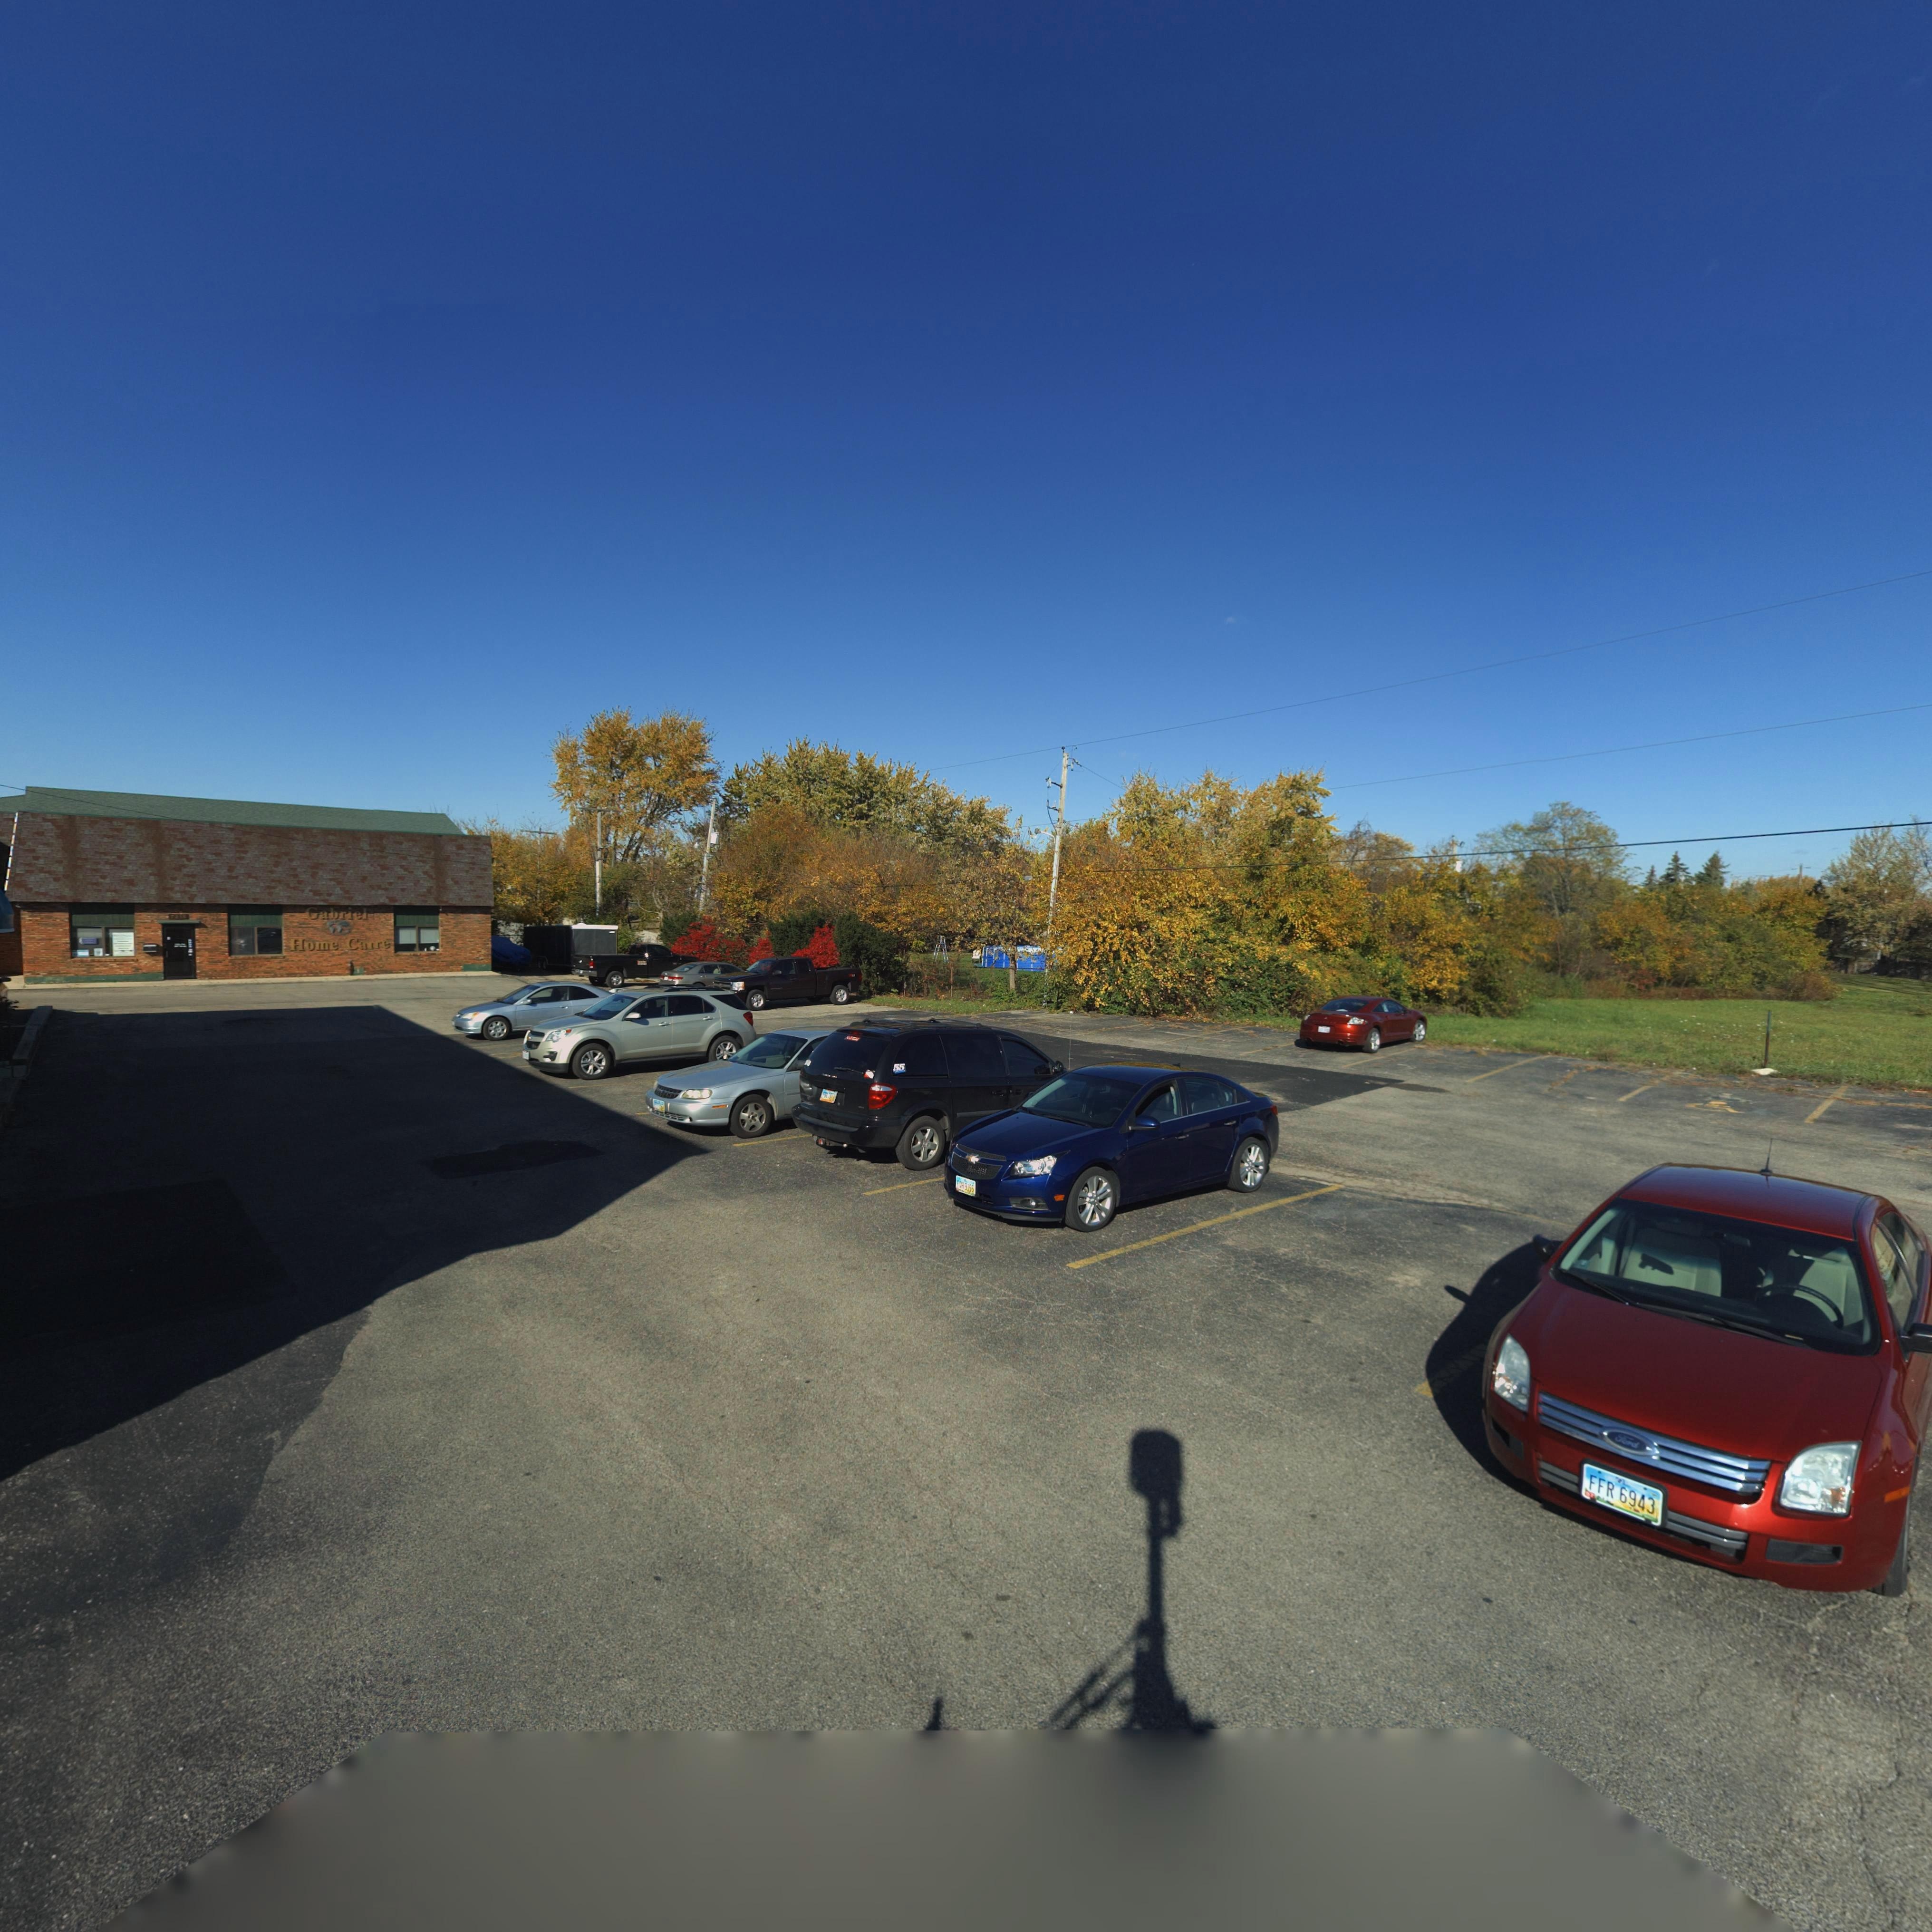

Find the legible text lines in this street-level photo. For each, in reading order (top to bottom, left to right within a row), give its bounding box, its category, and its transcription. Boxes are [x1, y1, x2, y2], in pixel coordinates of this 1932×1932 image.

[170, 914, 187, 919] StreetNumber: 7***
[304, 906, 368, 920] BusinessName: Gabriel
[289, 937, 391, 951] BusinessName: Home Carre